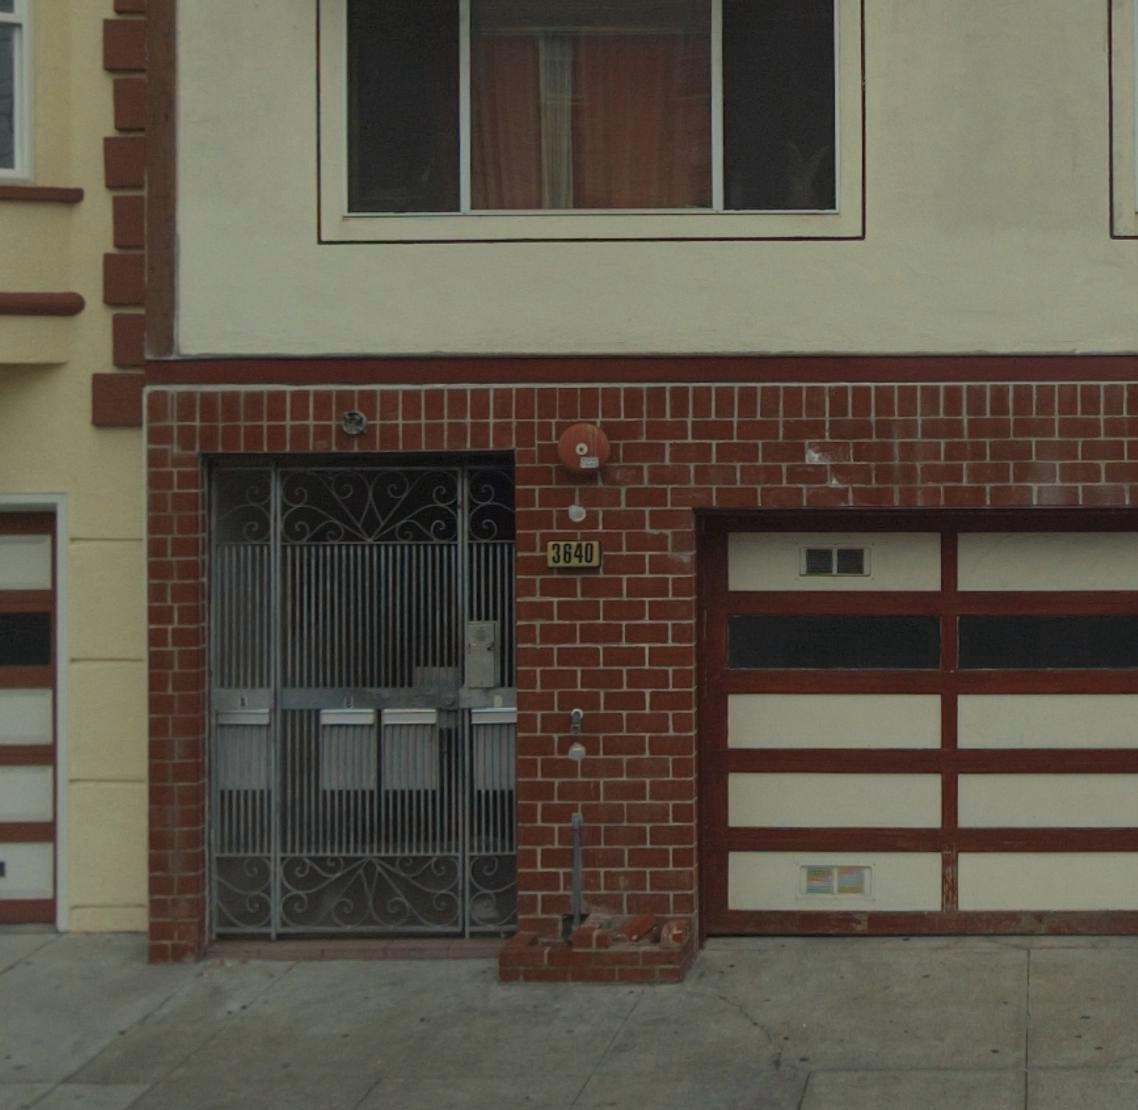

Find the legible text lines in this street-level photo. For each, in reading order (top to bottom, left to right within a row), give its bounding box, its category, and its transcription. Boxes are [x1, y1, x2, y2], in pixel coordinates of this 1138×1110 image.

[551, 542, 594, 564] StreetNumber: 3640